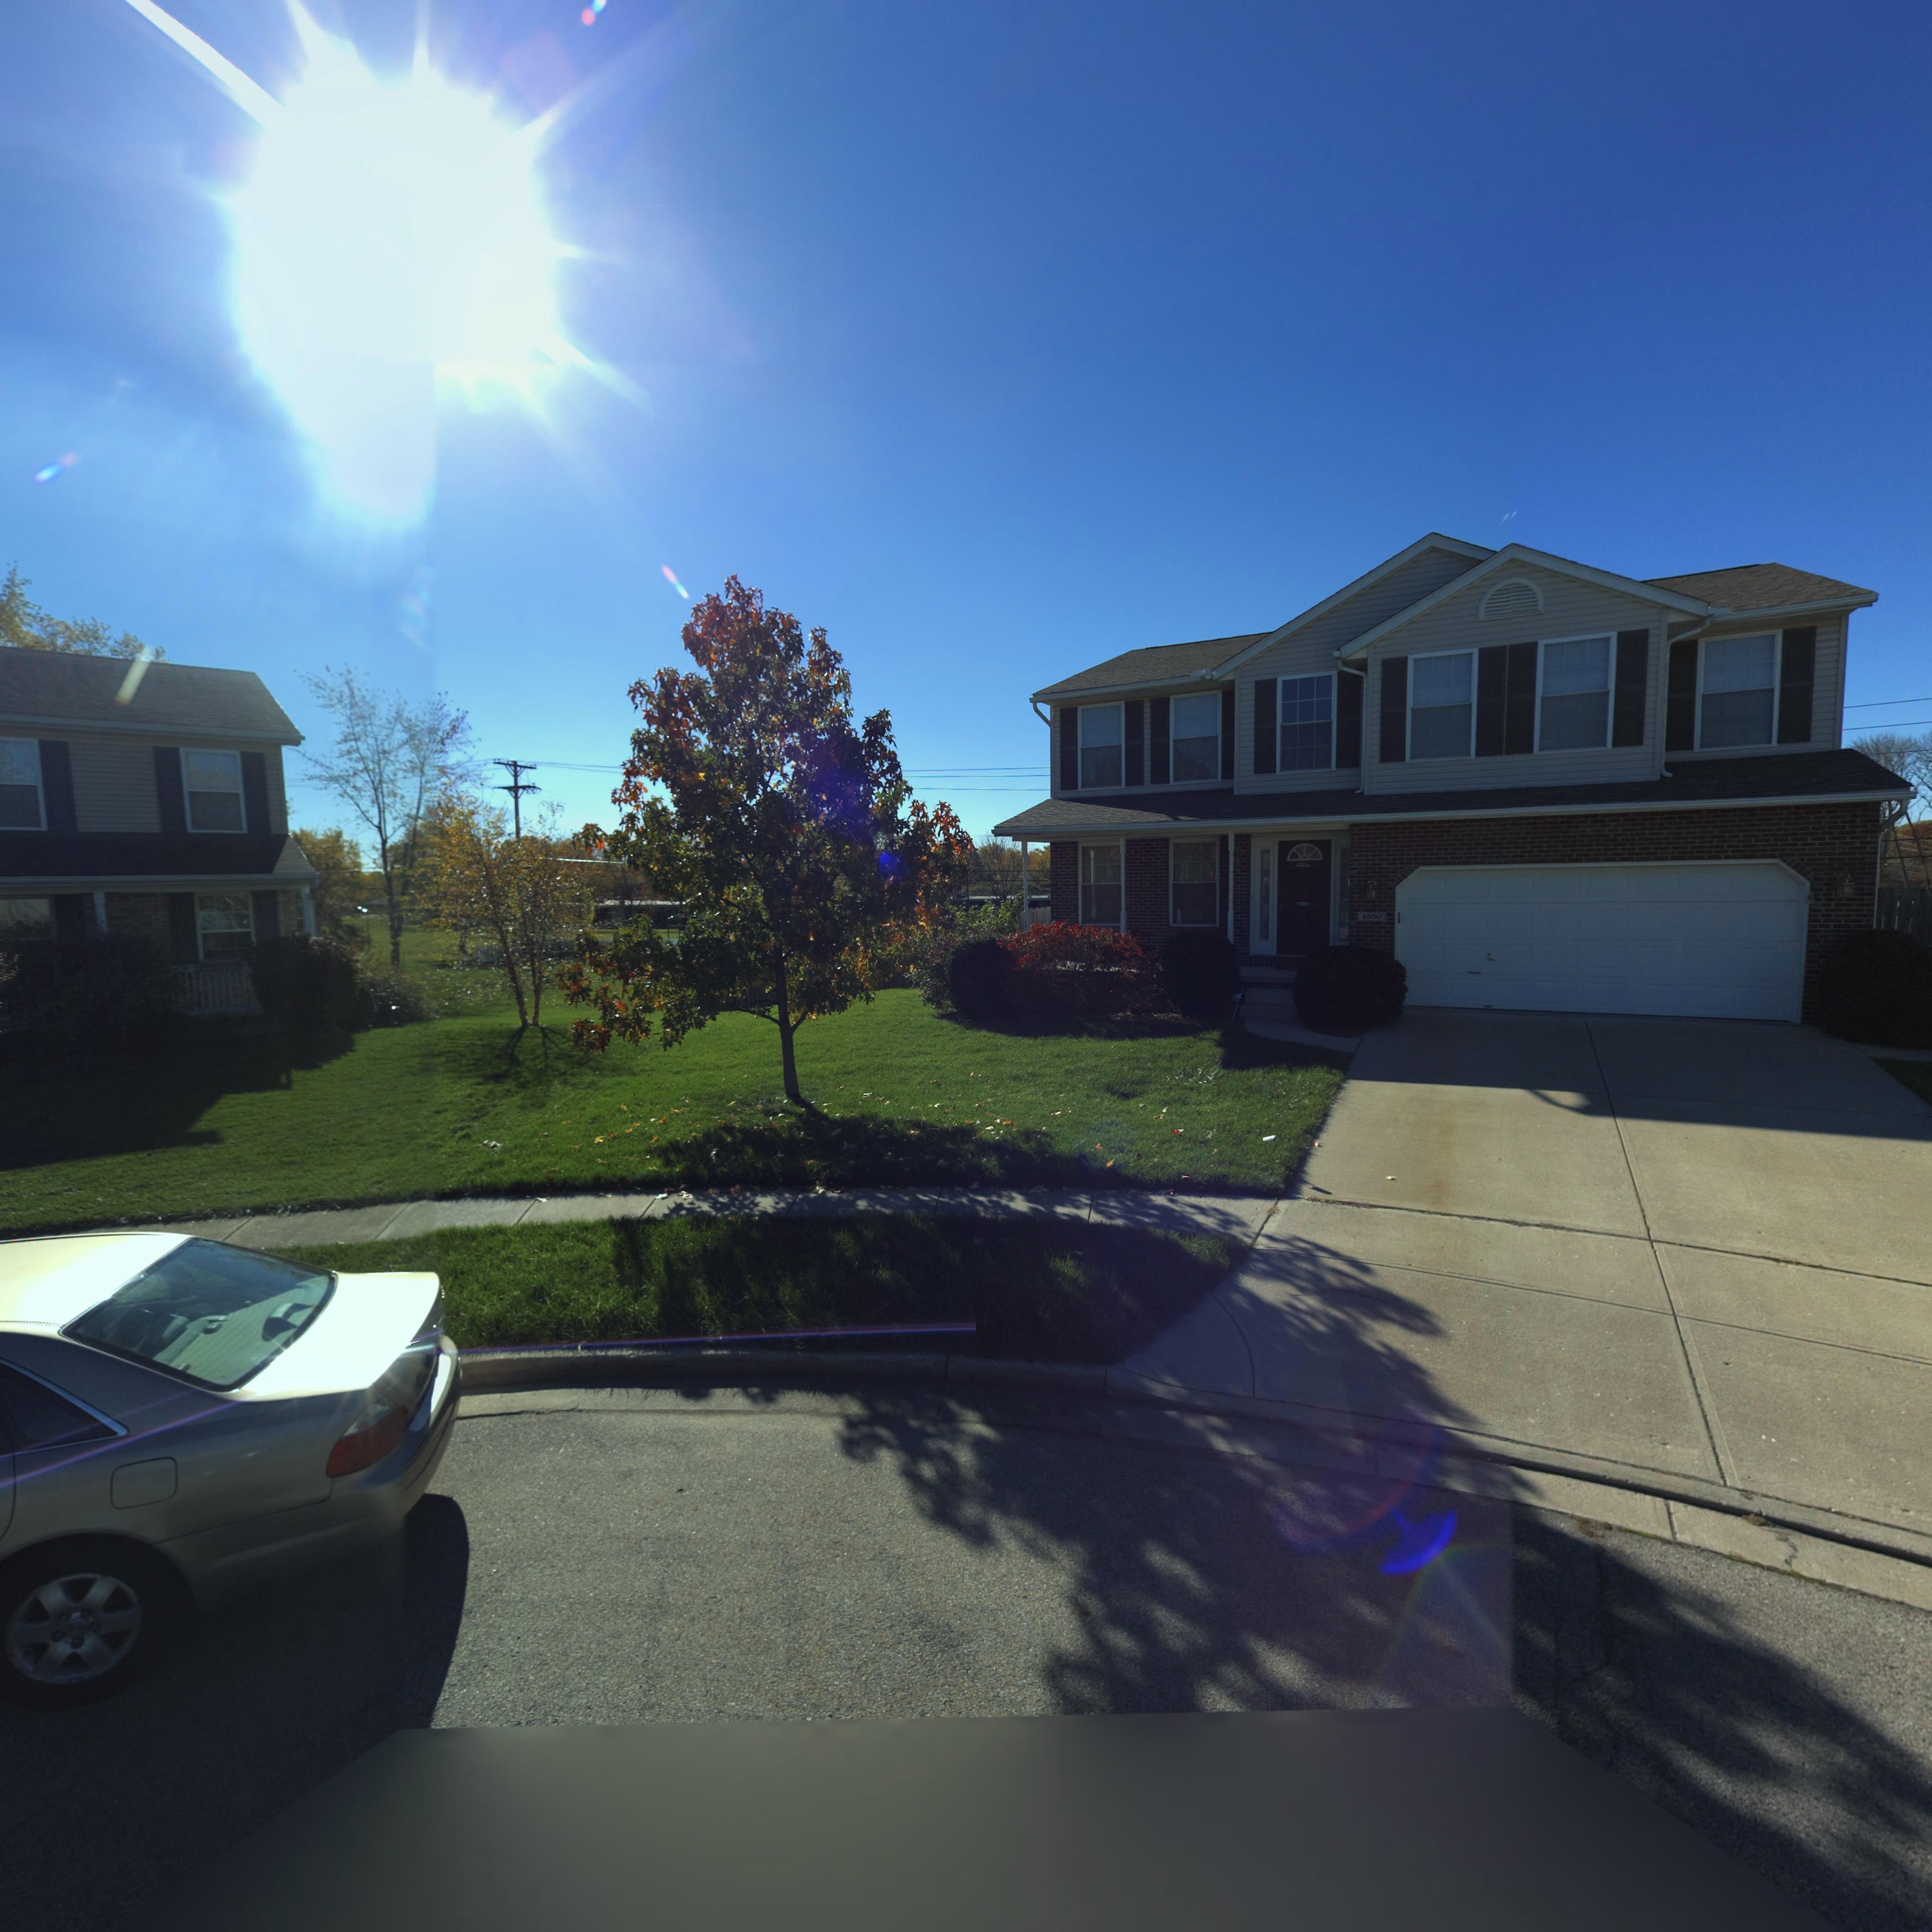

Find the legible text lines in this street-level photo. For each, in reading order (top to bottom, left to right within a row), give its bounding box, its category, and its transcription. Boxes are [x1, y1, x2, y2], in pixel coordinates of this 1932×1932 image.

[1360, 913, 1382, 920] StreetNumber: 45*0